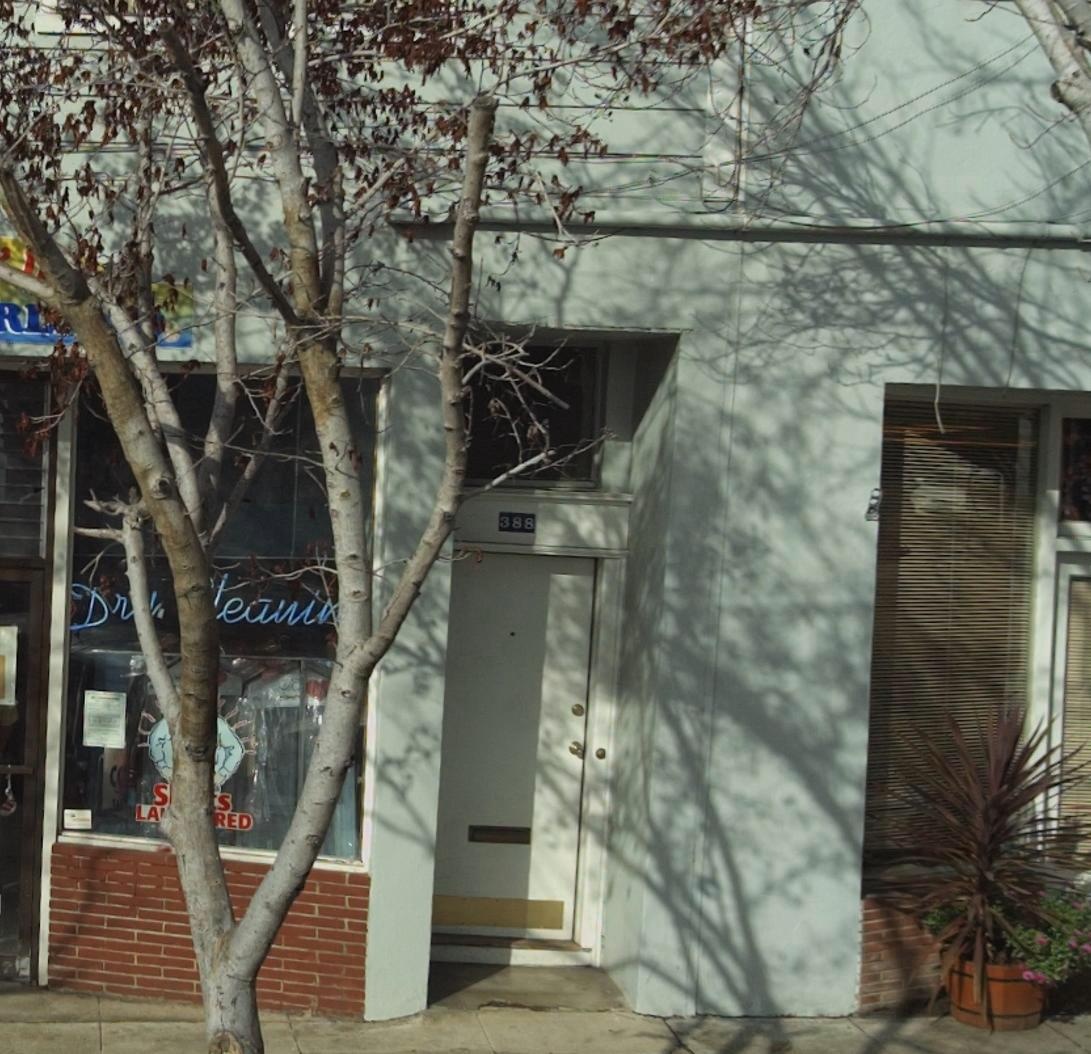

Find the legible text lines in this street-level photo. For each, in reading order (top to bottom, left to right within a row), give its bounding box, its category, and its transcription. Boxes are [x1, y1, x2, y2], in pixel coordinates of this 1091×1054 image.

[499, 515, 535, 531] StreetNumber: 388
[69, 581, 166, 634] None: Dr*
[209, 572, 342, 629] None: **eani*
[152, 781, 232, 811] None: S**S
[135, 804, 251, 831] None: LA*RED